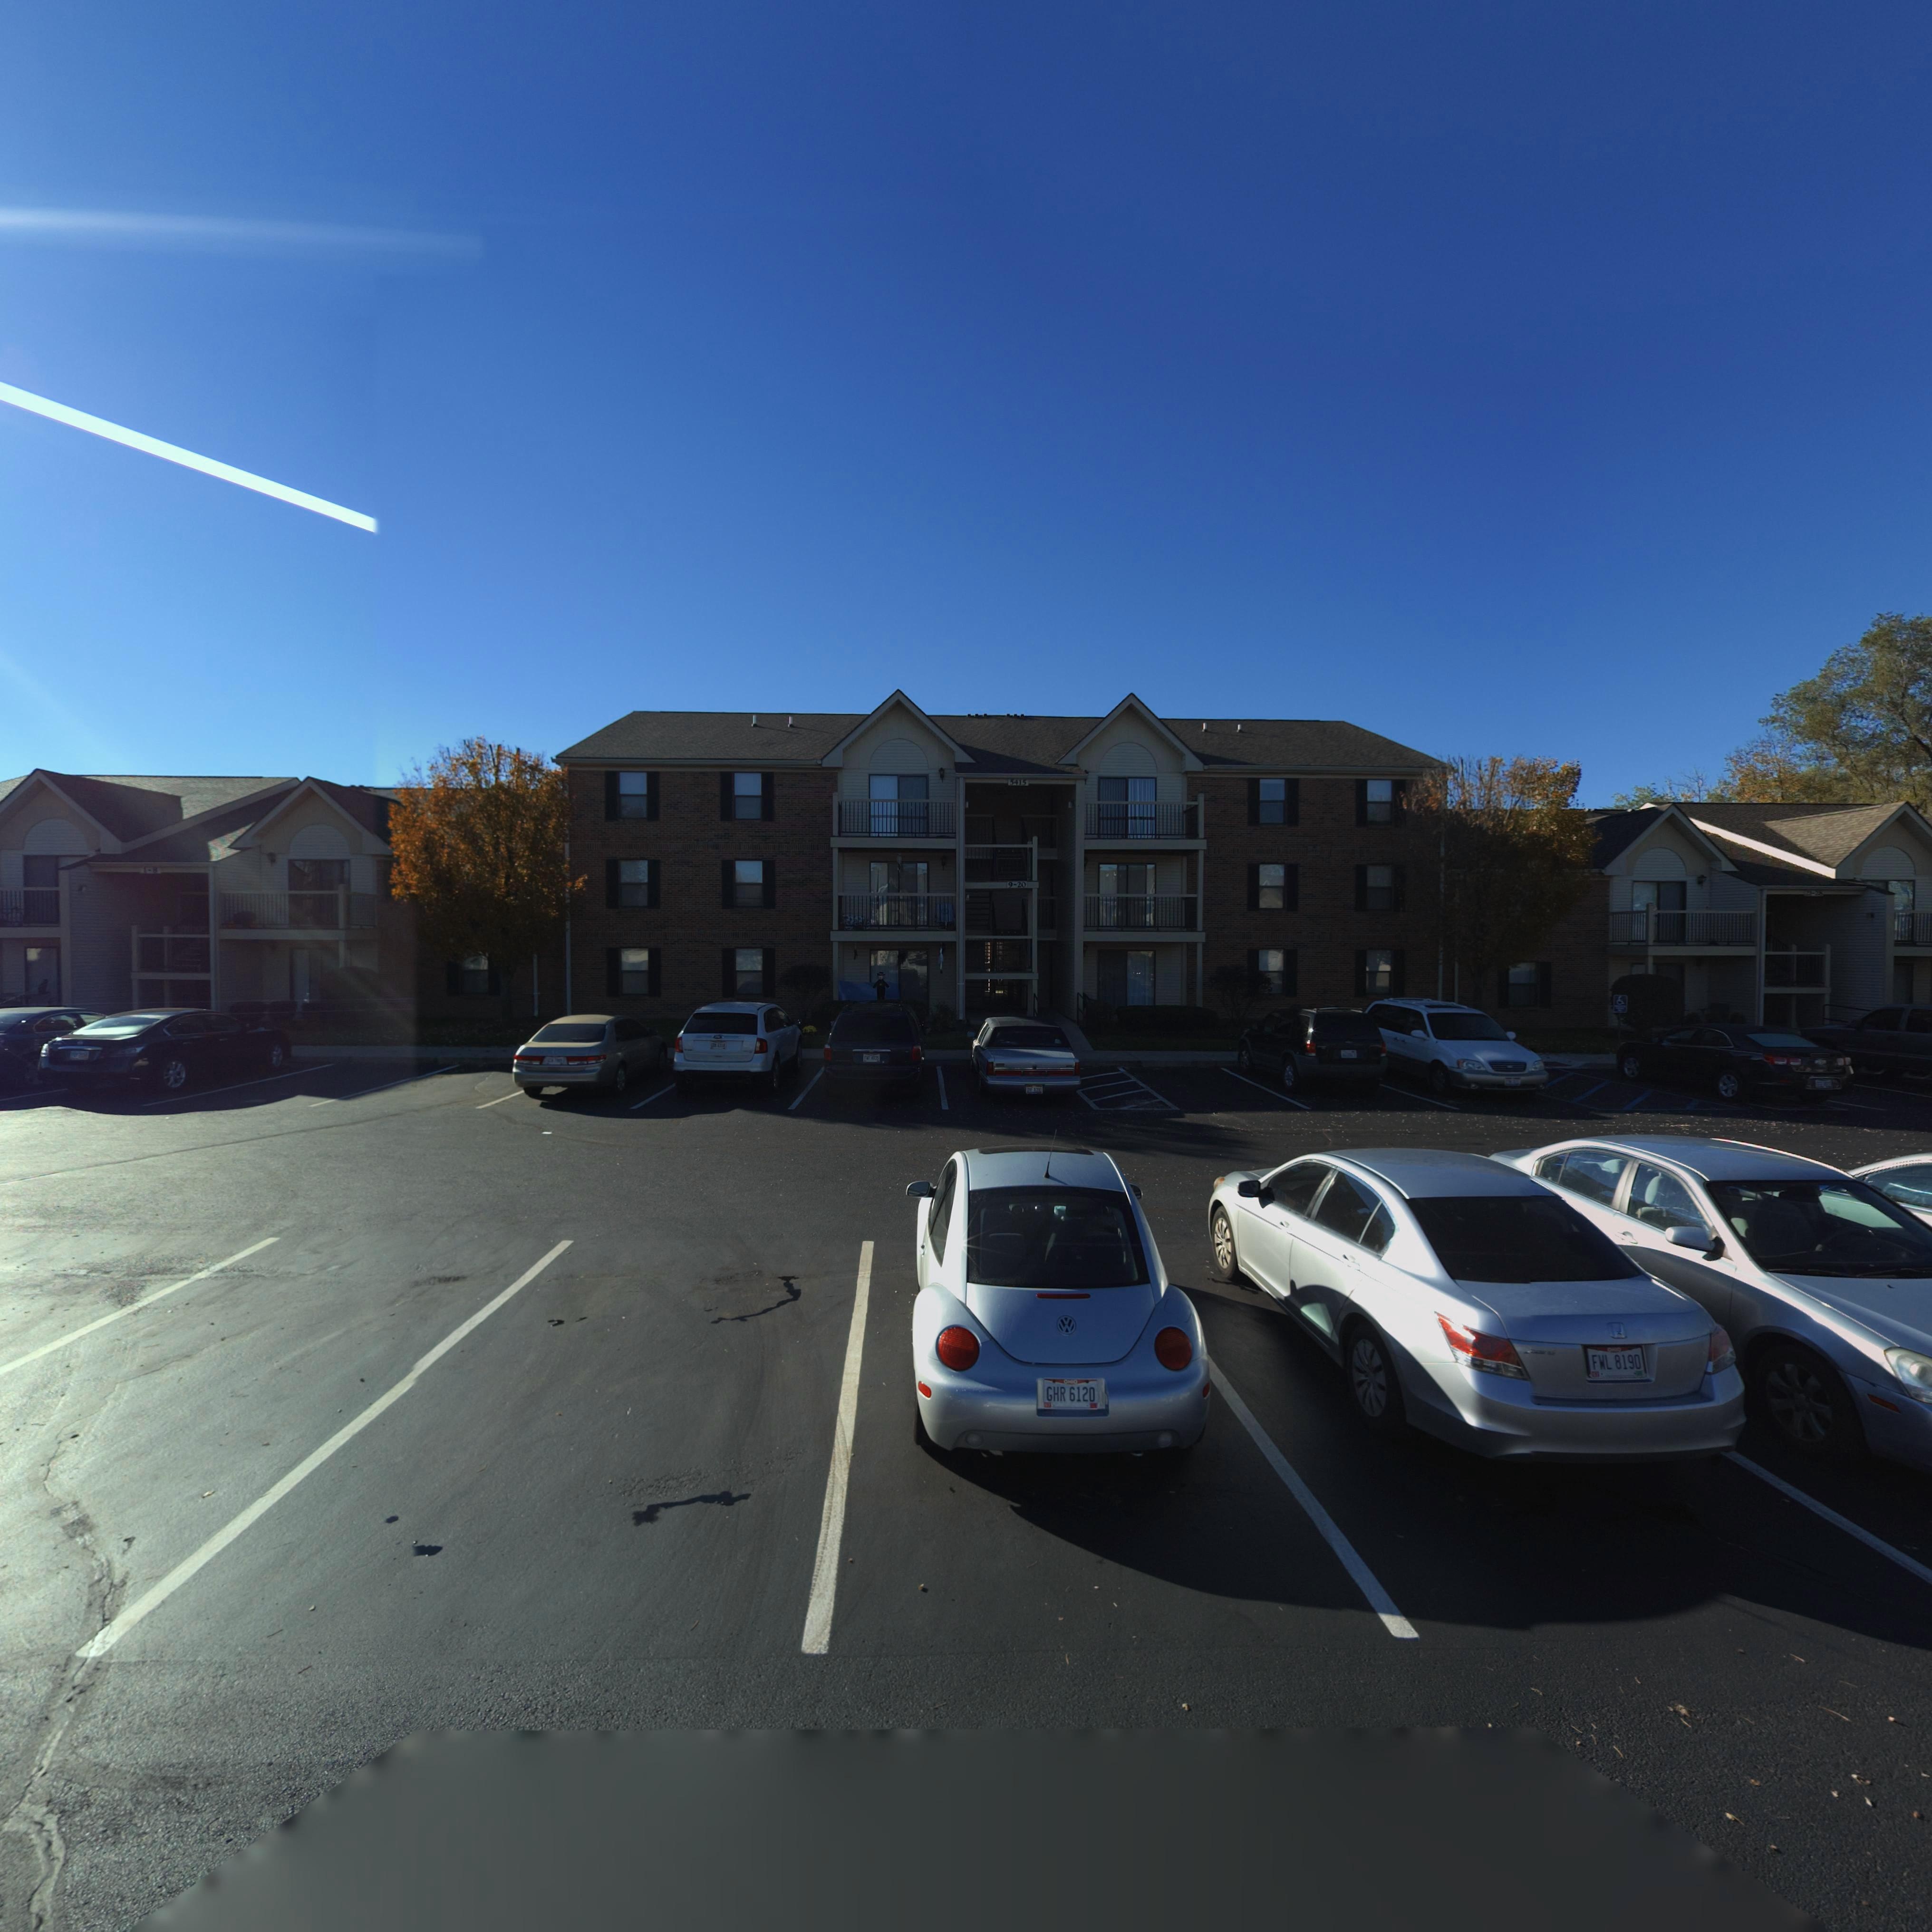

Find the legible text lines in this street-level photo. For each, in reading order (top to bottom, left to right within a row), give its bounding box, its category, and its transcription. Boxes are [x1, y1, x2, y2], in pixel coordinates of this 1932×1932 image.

[1009, 778, 1026, 785] StreetNumber: 5415
[142, 866, 158, 874] StreetNumber: 1-8
[1007, 881, 1026, 889] StreetNumber: 9-20
[1805, 889, 1823, 896] StreetNumber: 21-28